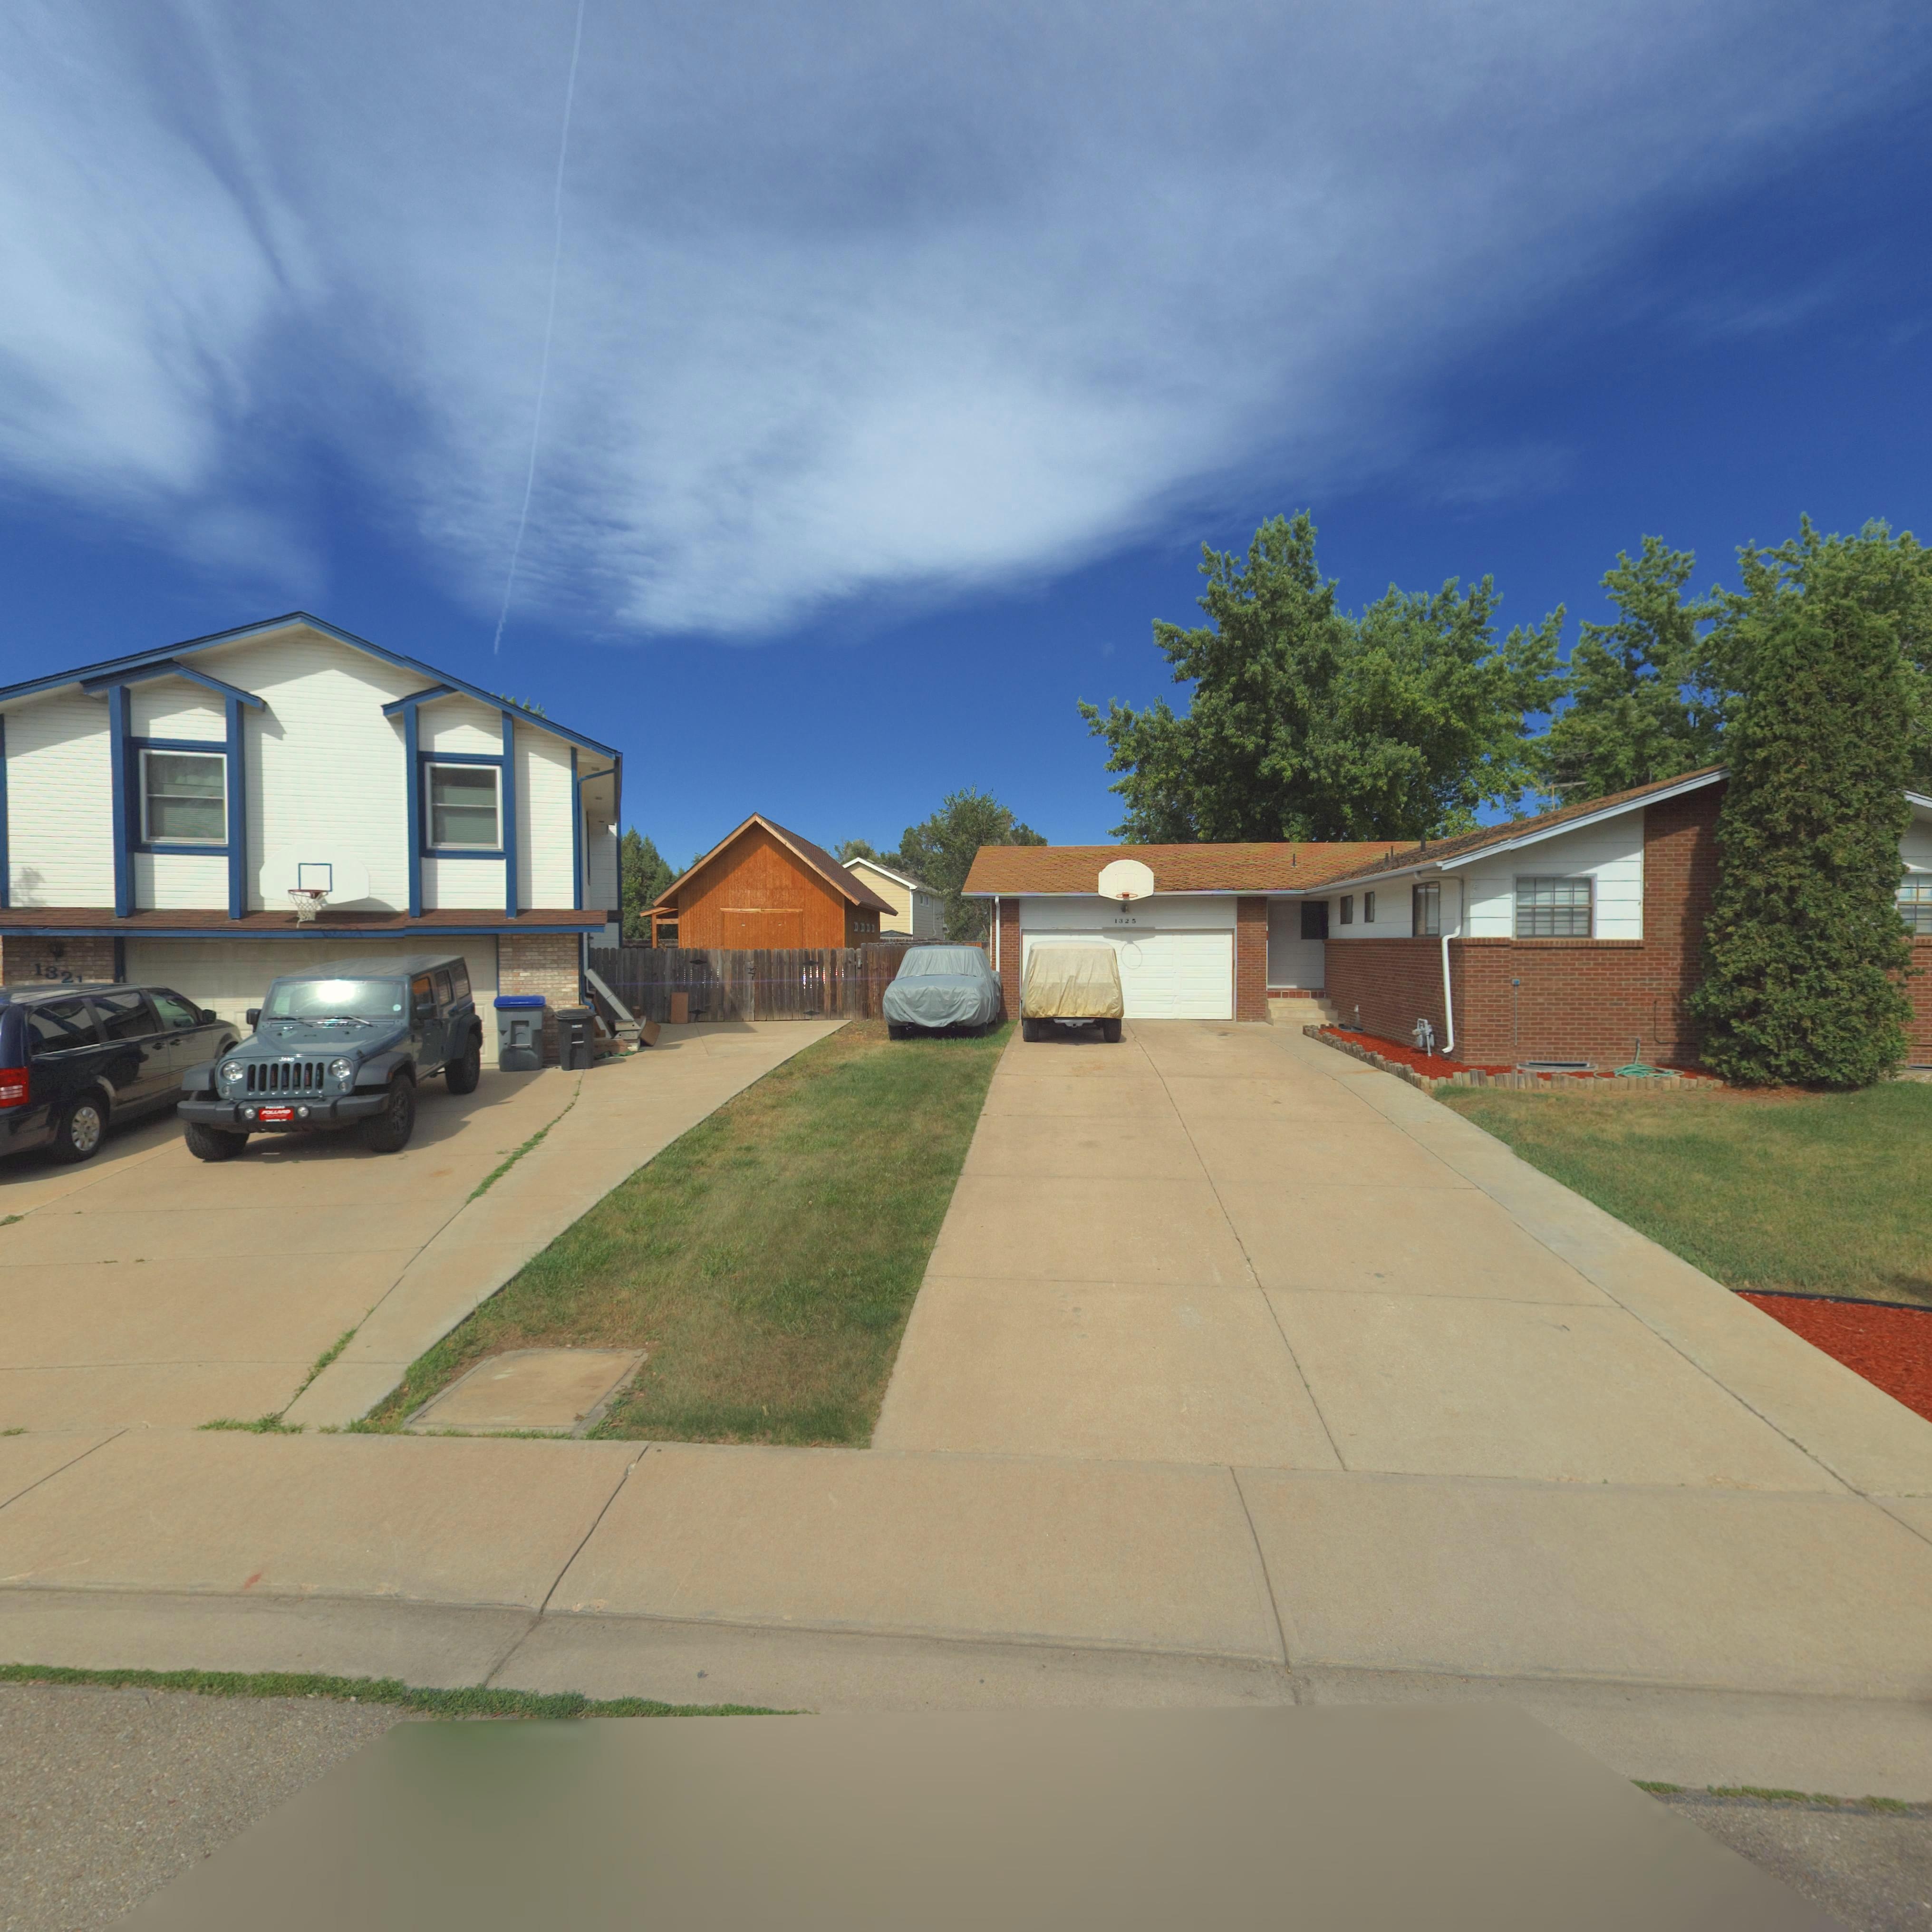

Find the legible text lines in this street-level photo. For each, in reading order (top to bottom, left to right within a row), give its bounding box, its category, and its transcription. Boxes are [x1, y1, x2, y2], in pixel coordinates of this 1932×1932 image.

[1114, 918, 1136, 924] StreetNumber: 1325
[33, 962, 82, 983] StreetNumber: 132*